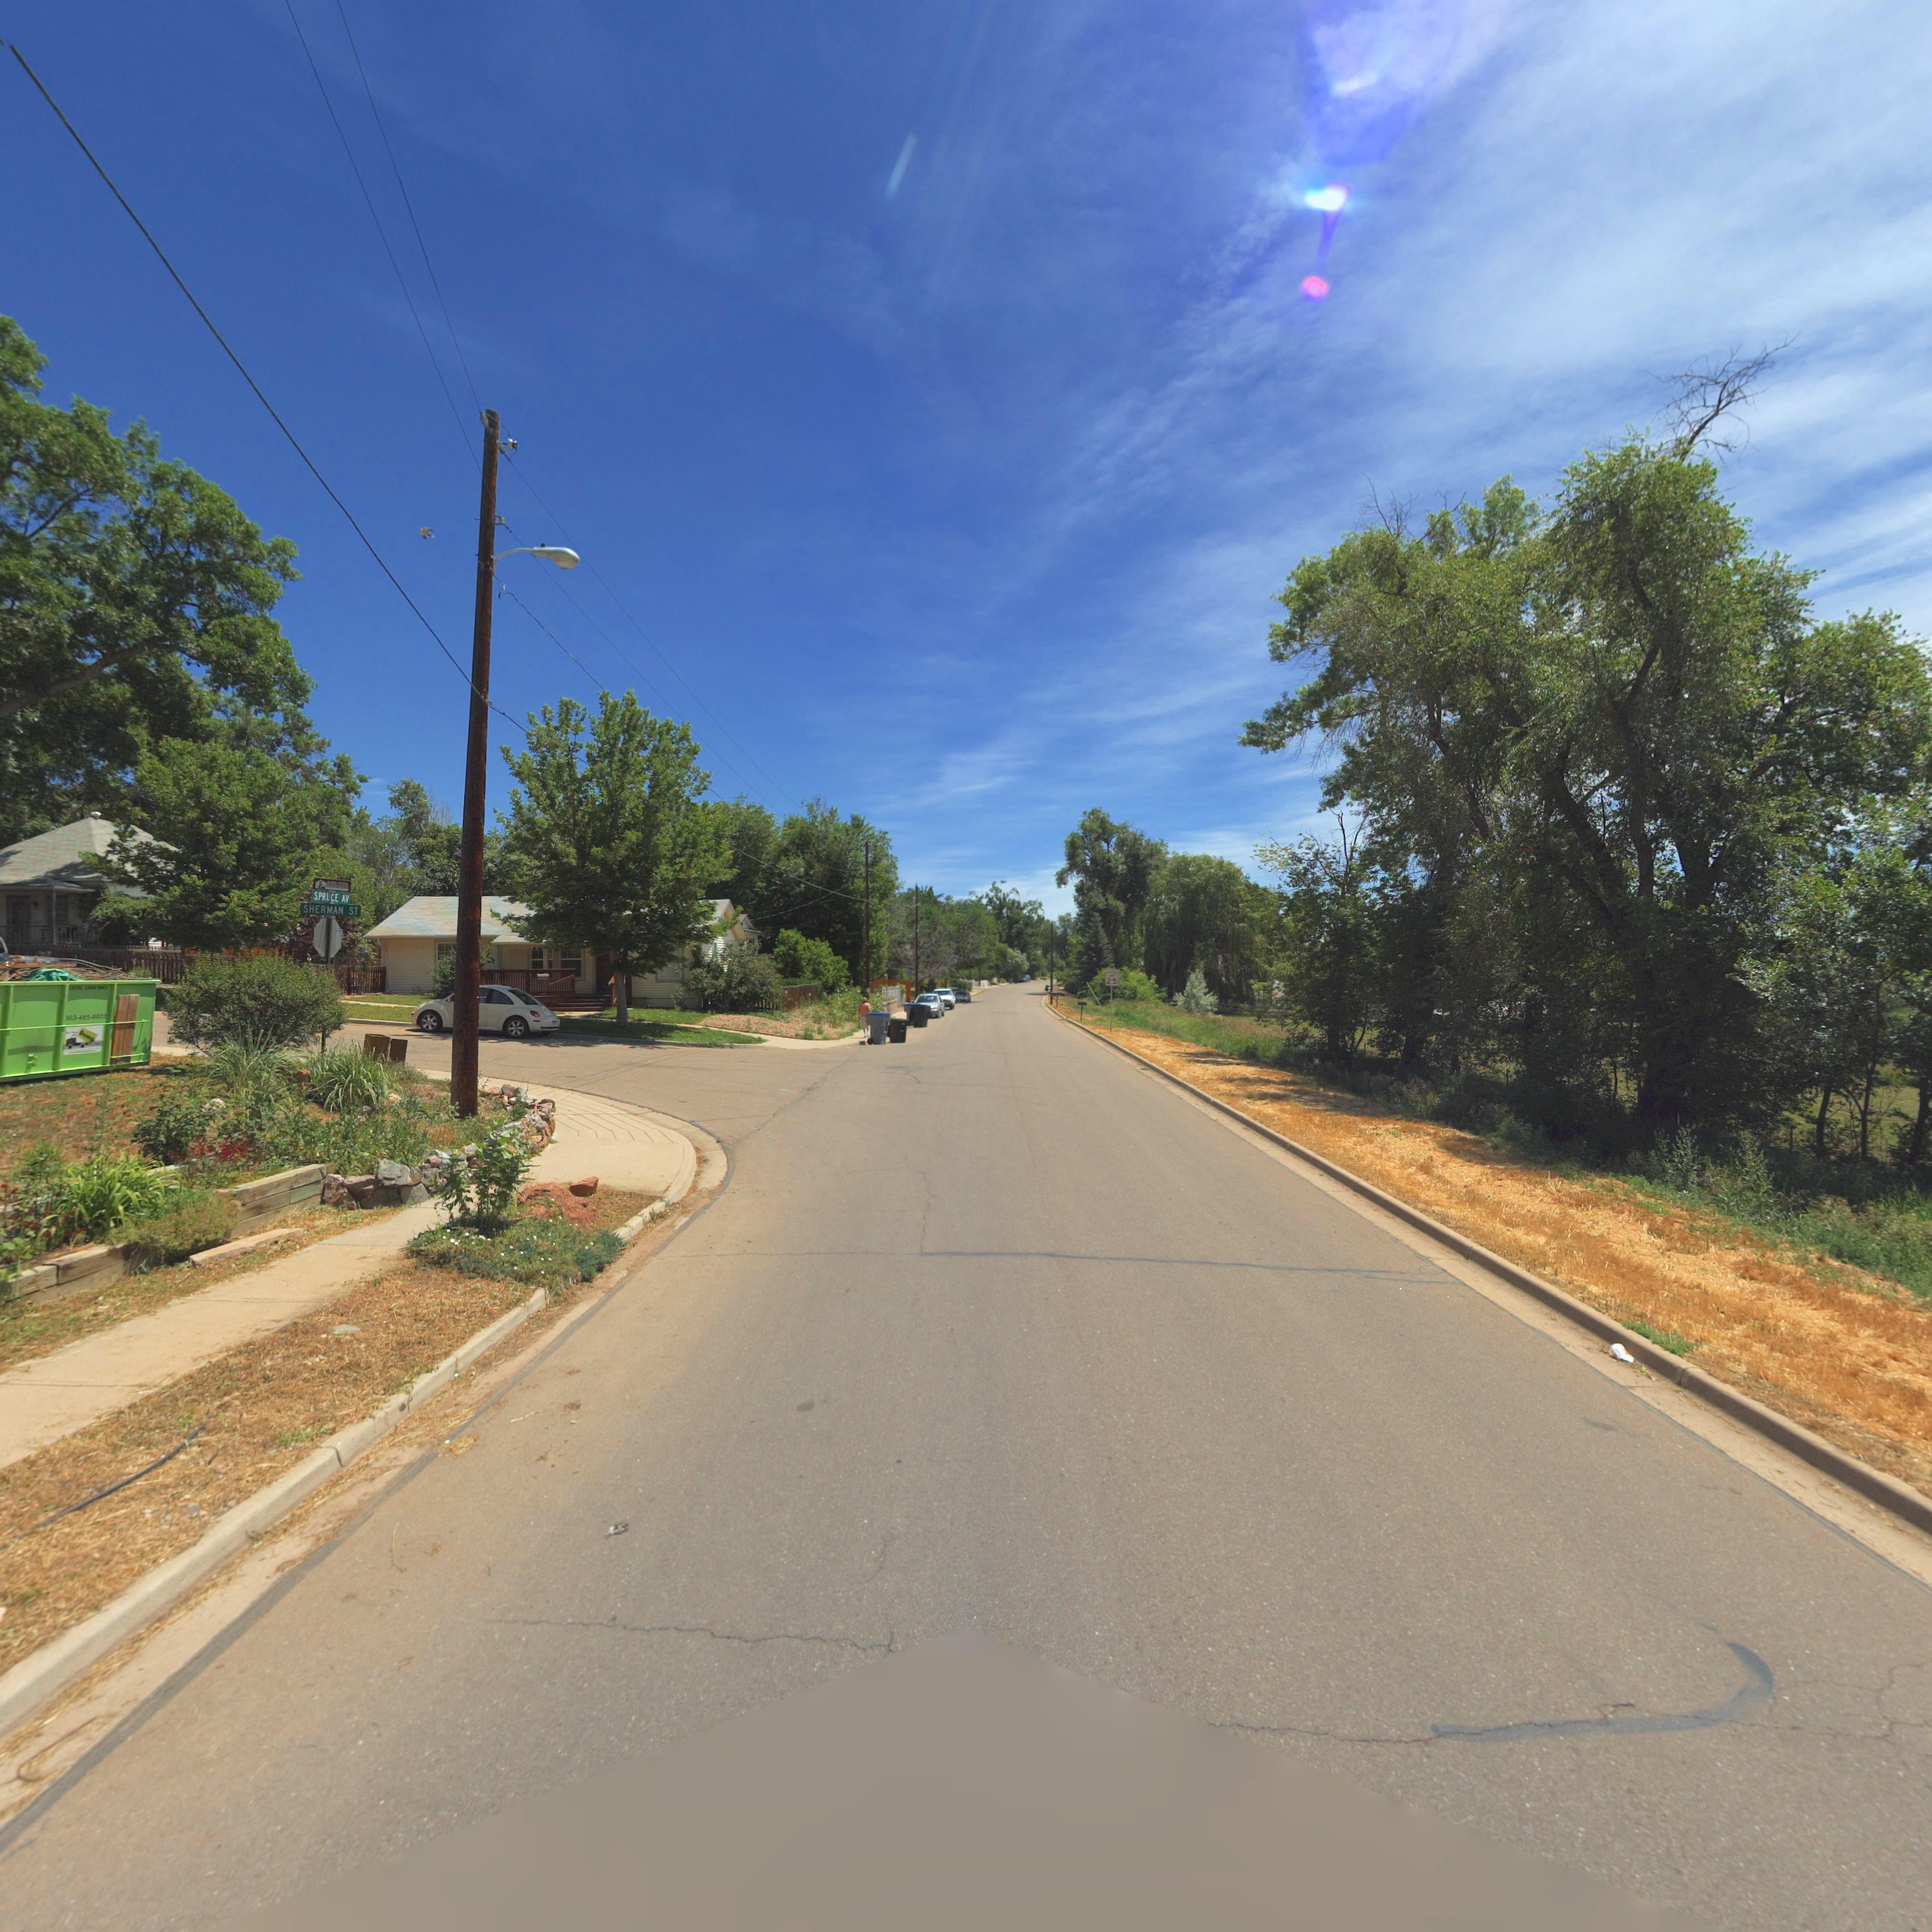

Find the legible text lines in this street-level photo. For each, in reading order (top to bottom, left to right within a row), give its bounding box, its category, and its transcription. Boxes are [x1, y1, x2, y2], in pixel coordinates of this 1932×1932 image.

[314, 891, 349, 902] StreetName: SPRUCE AV
[303, 905, 358, 915] StreetName: SHERMAN ST
[543, 950, 546, 956] StreetNumber: 0*